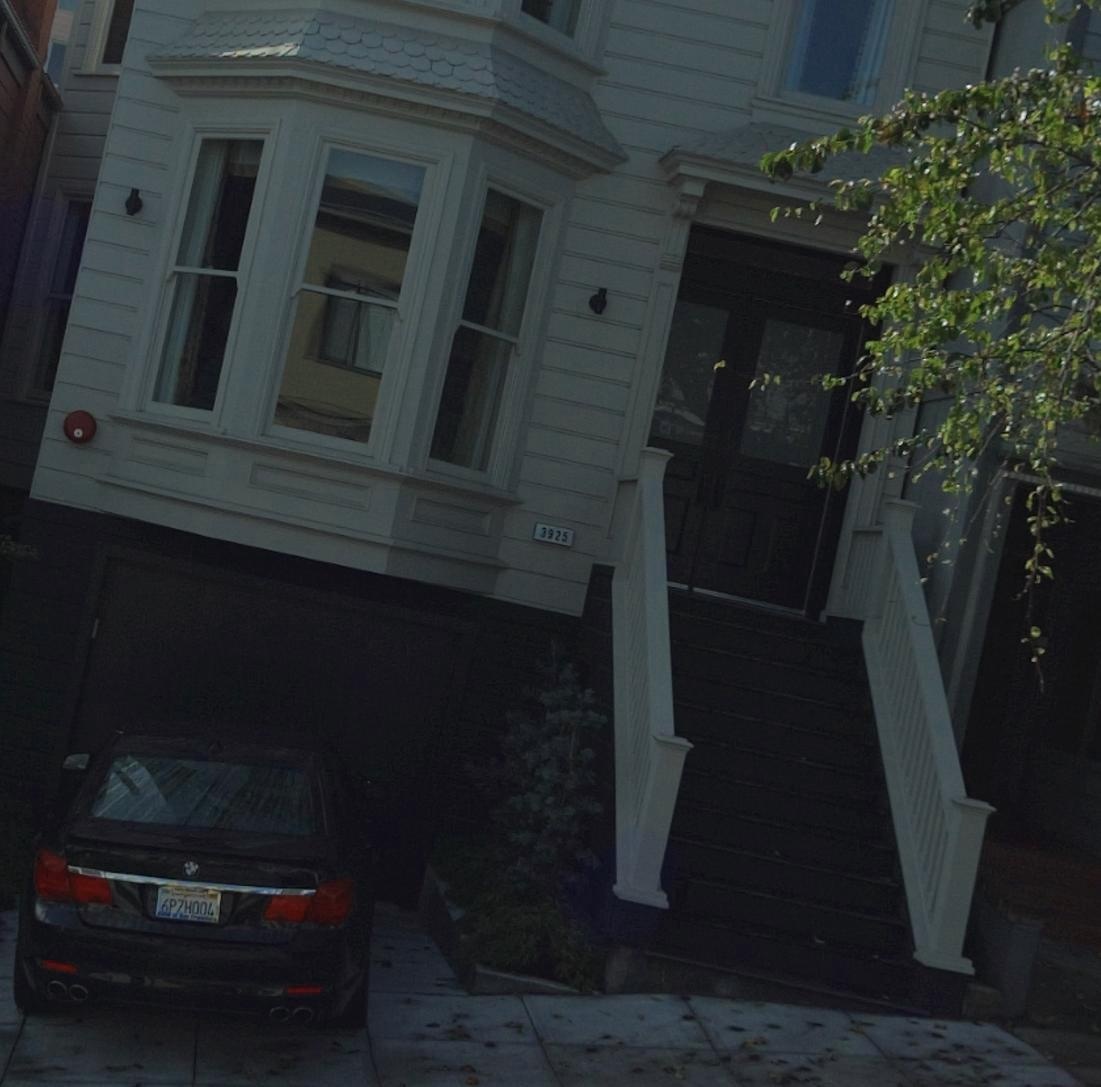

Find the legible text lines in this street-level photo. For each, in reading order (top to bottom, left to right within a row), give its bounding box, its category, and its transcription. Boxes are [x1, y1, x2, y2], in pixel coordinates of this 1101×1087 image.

[538, 525, 570, 544] StreetNumber: 3925
[160, 897, 216, 918] None: 6P7H004